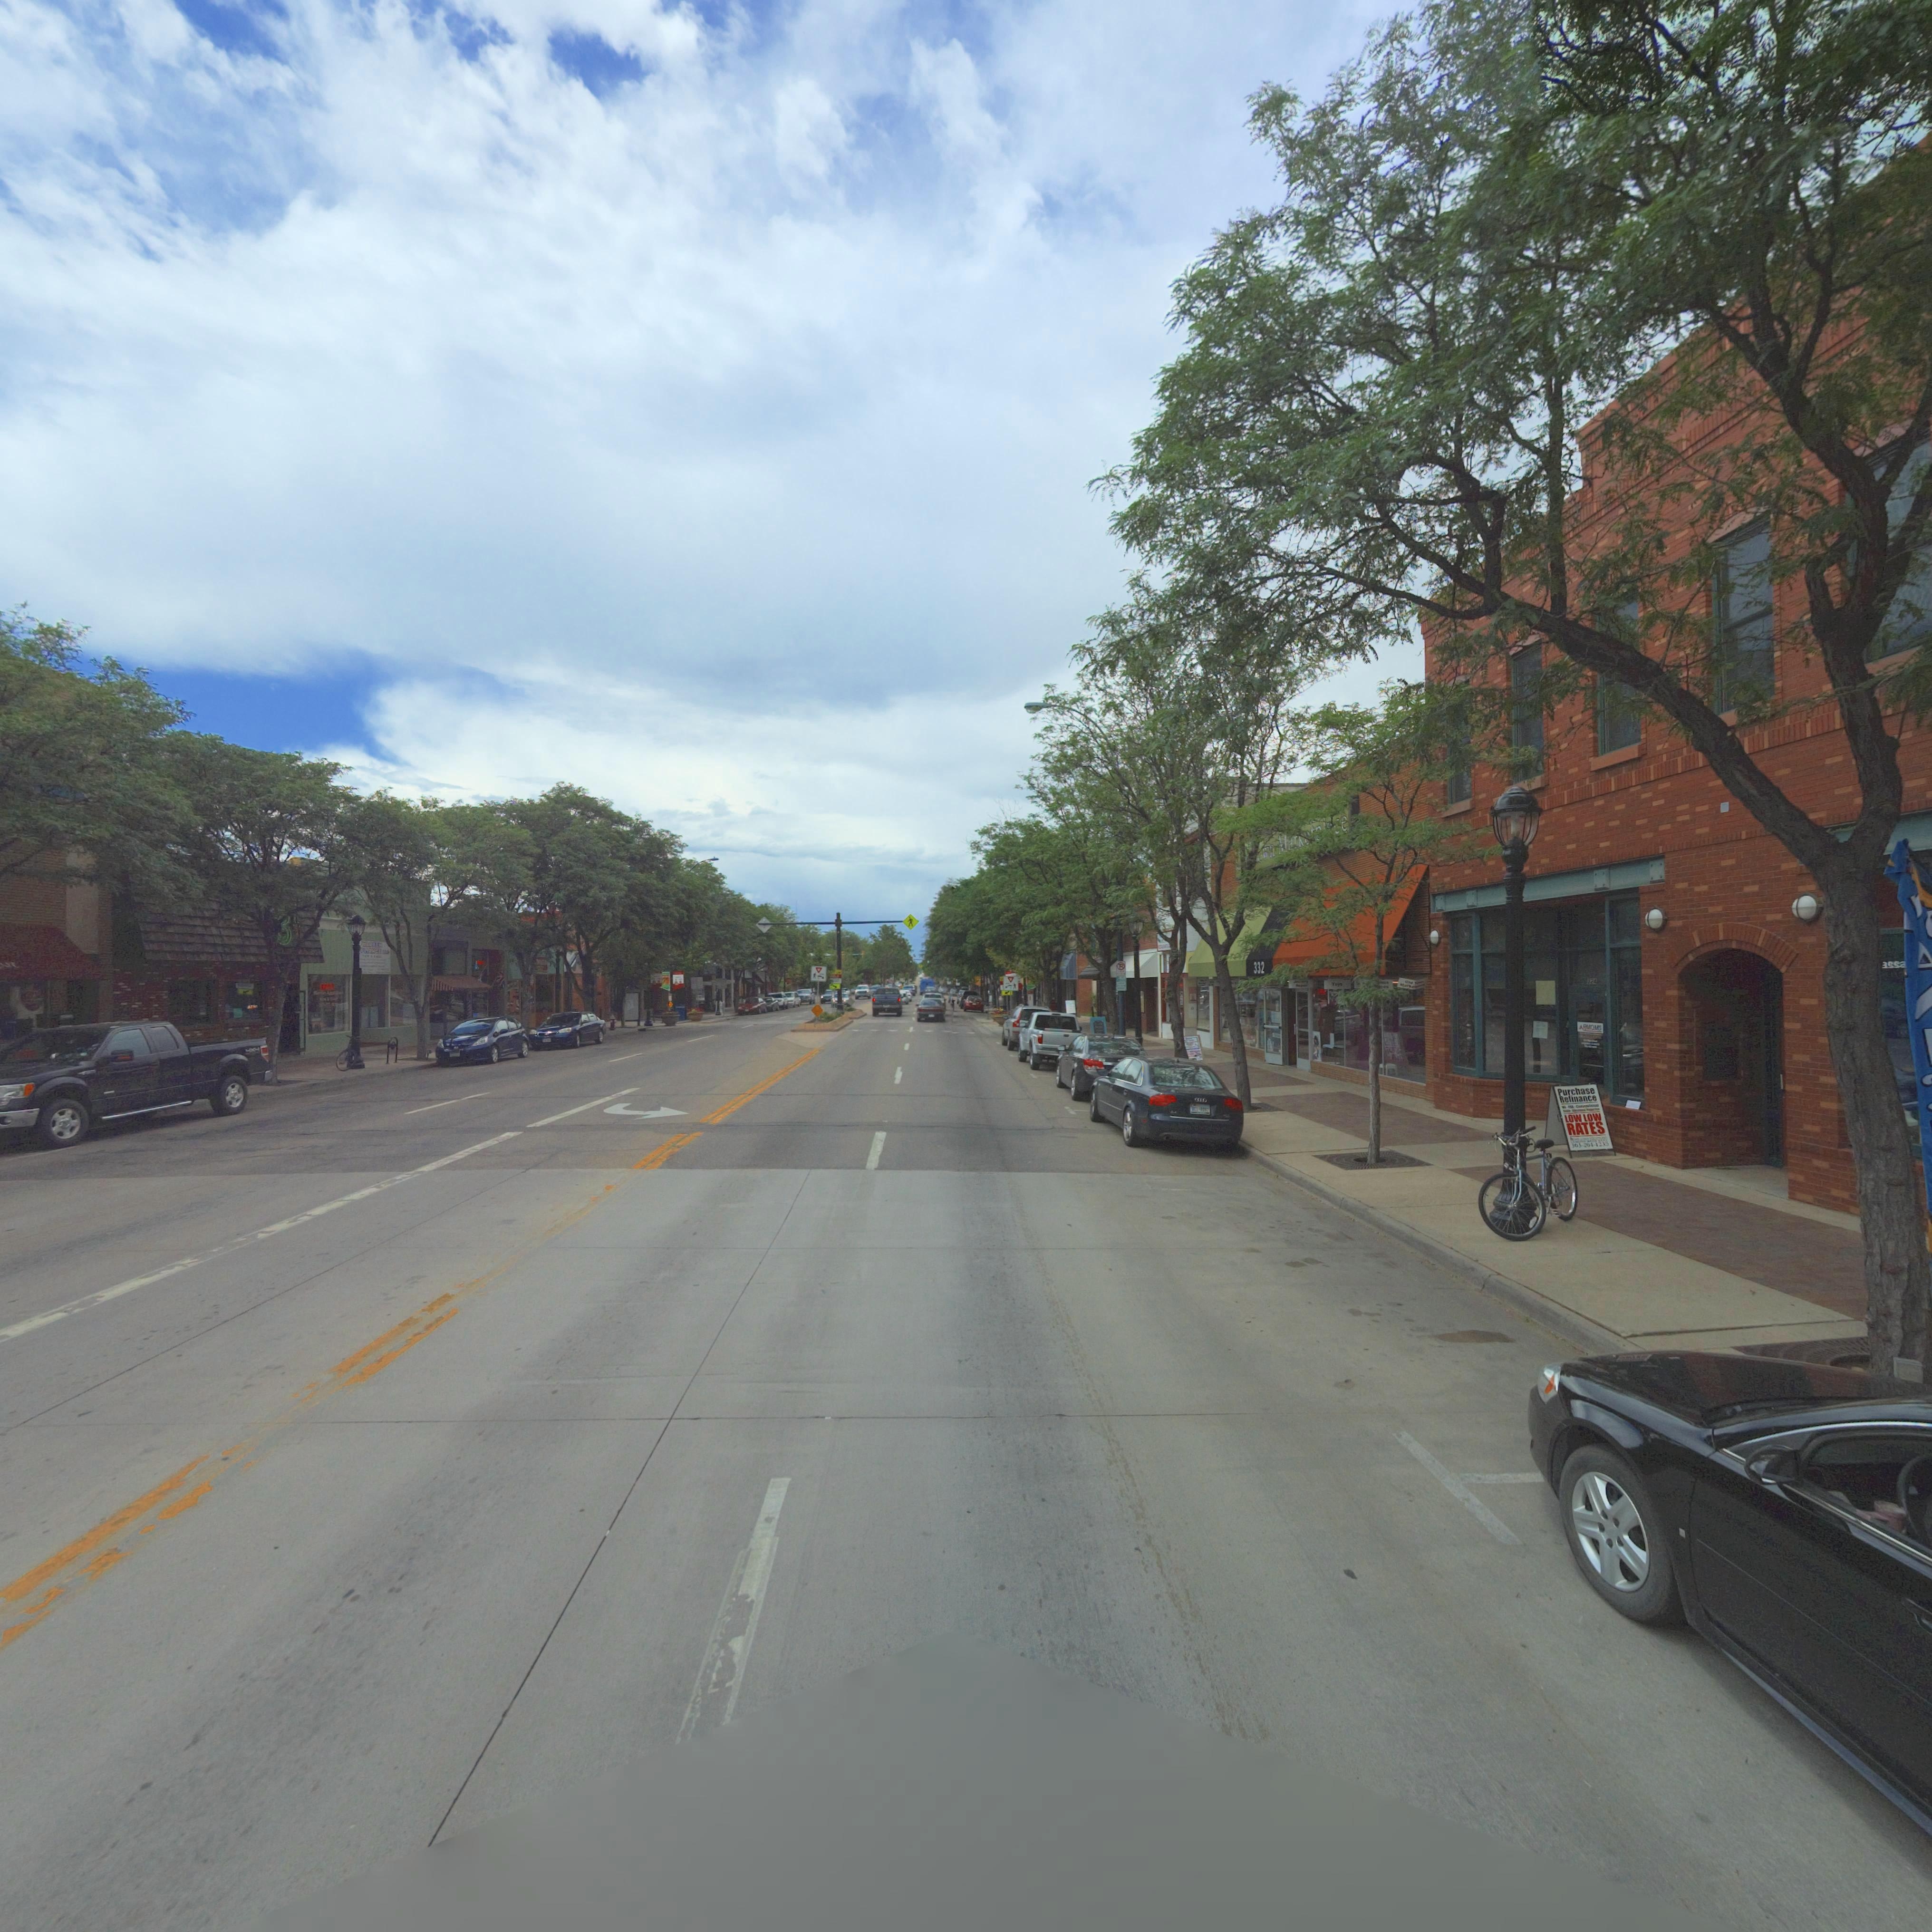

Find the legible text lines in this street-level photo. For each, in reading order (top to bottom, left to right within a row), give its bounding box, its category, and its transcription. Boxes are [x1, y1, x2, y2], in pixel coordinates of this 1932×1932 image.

[1235, 814, 1348, 870] BusinessName: *** *own Mark*t***ce
[359, 947, 382, 954] BusinessName: *****SICE
[1253, 961, 1265, 974] StreetNumber: 332
[1587, 978, 1597, 984] StreetNumber: *2*
[1583, 1024, 1602, 1031] BusinessName: **OMS